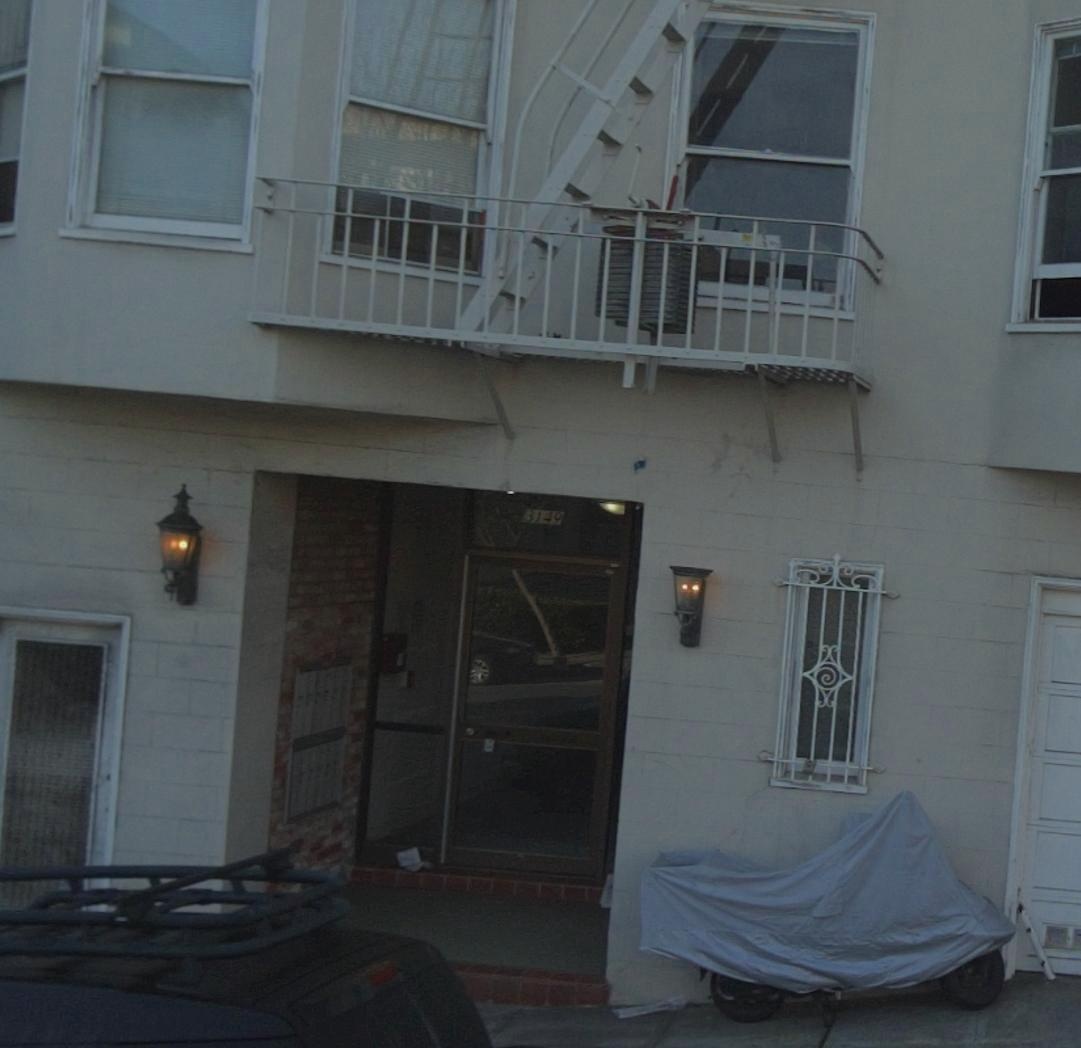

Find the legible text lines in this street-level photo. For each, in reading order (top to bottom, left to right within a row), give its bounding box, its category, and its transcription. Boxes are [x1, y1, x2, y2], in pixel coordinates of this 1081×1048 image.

[519, 508, 567, 526] StreetNumber: 3149